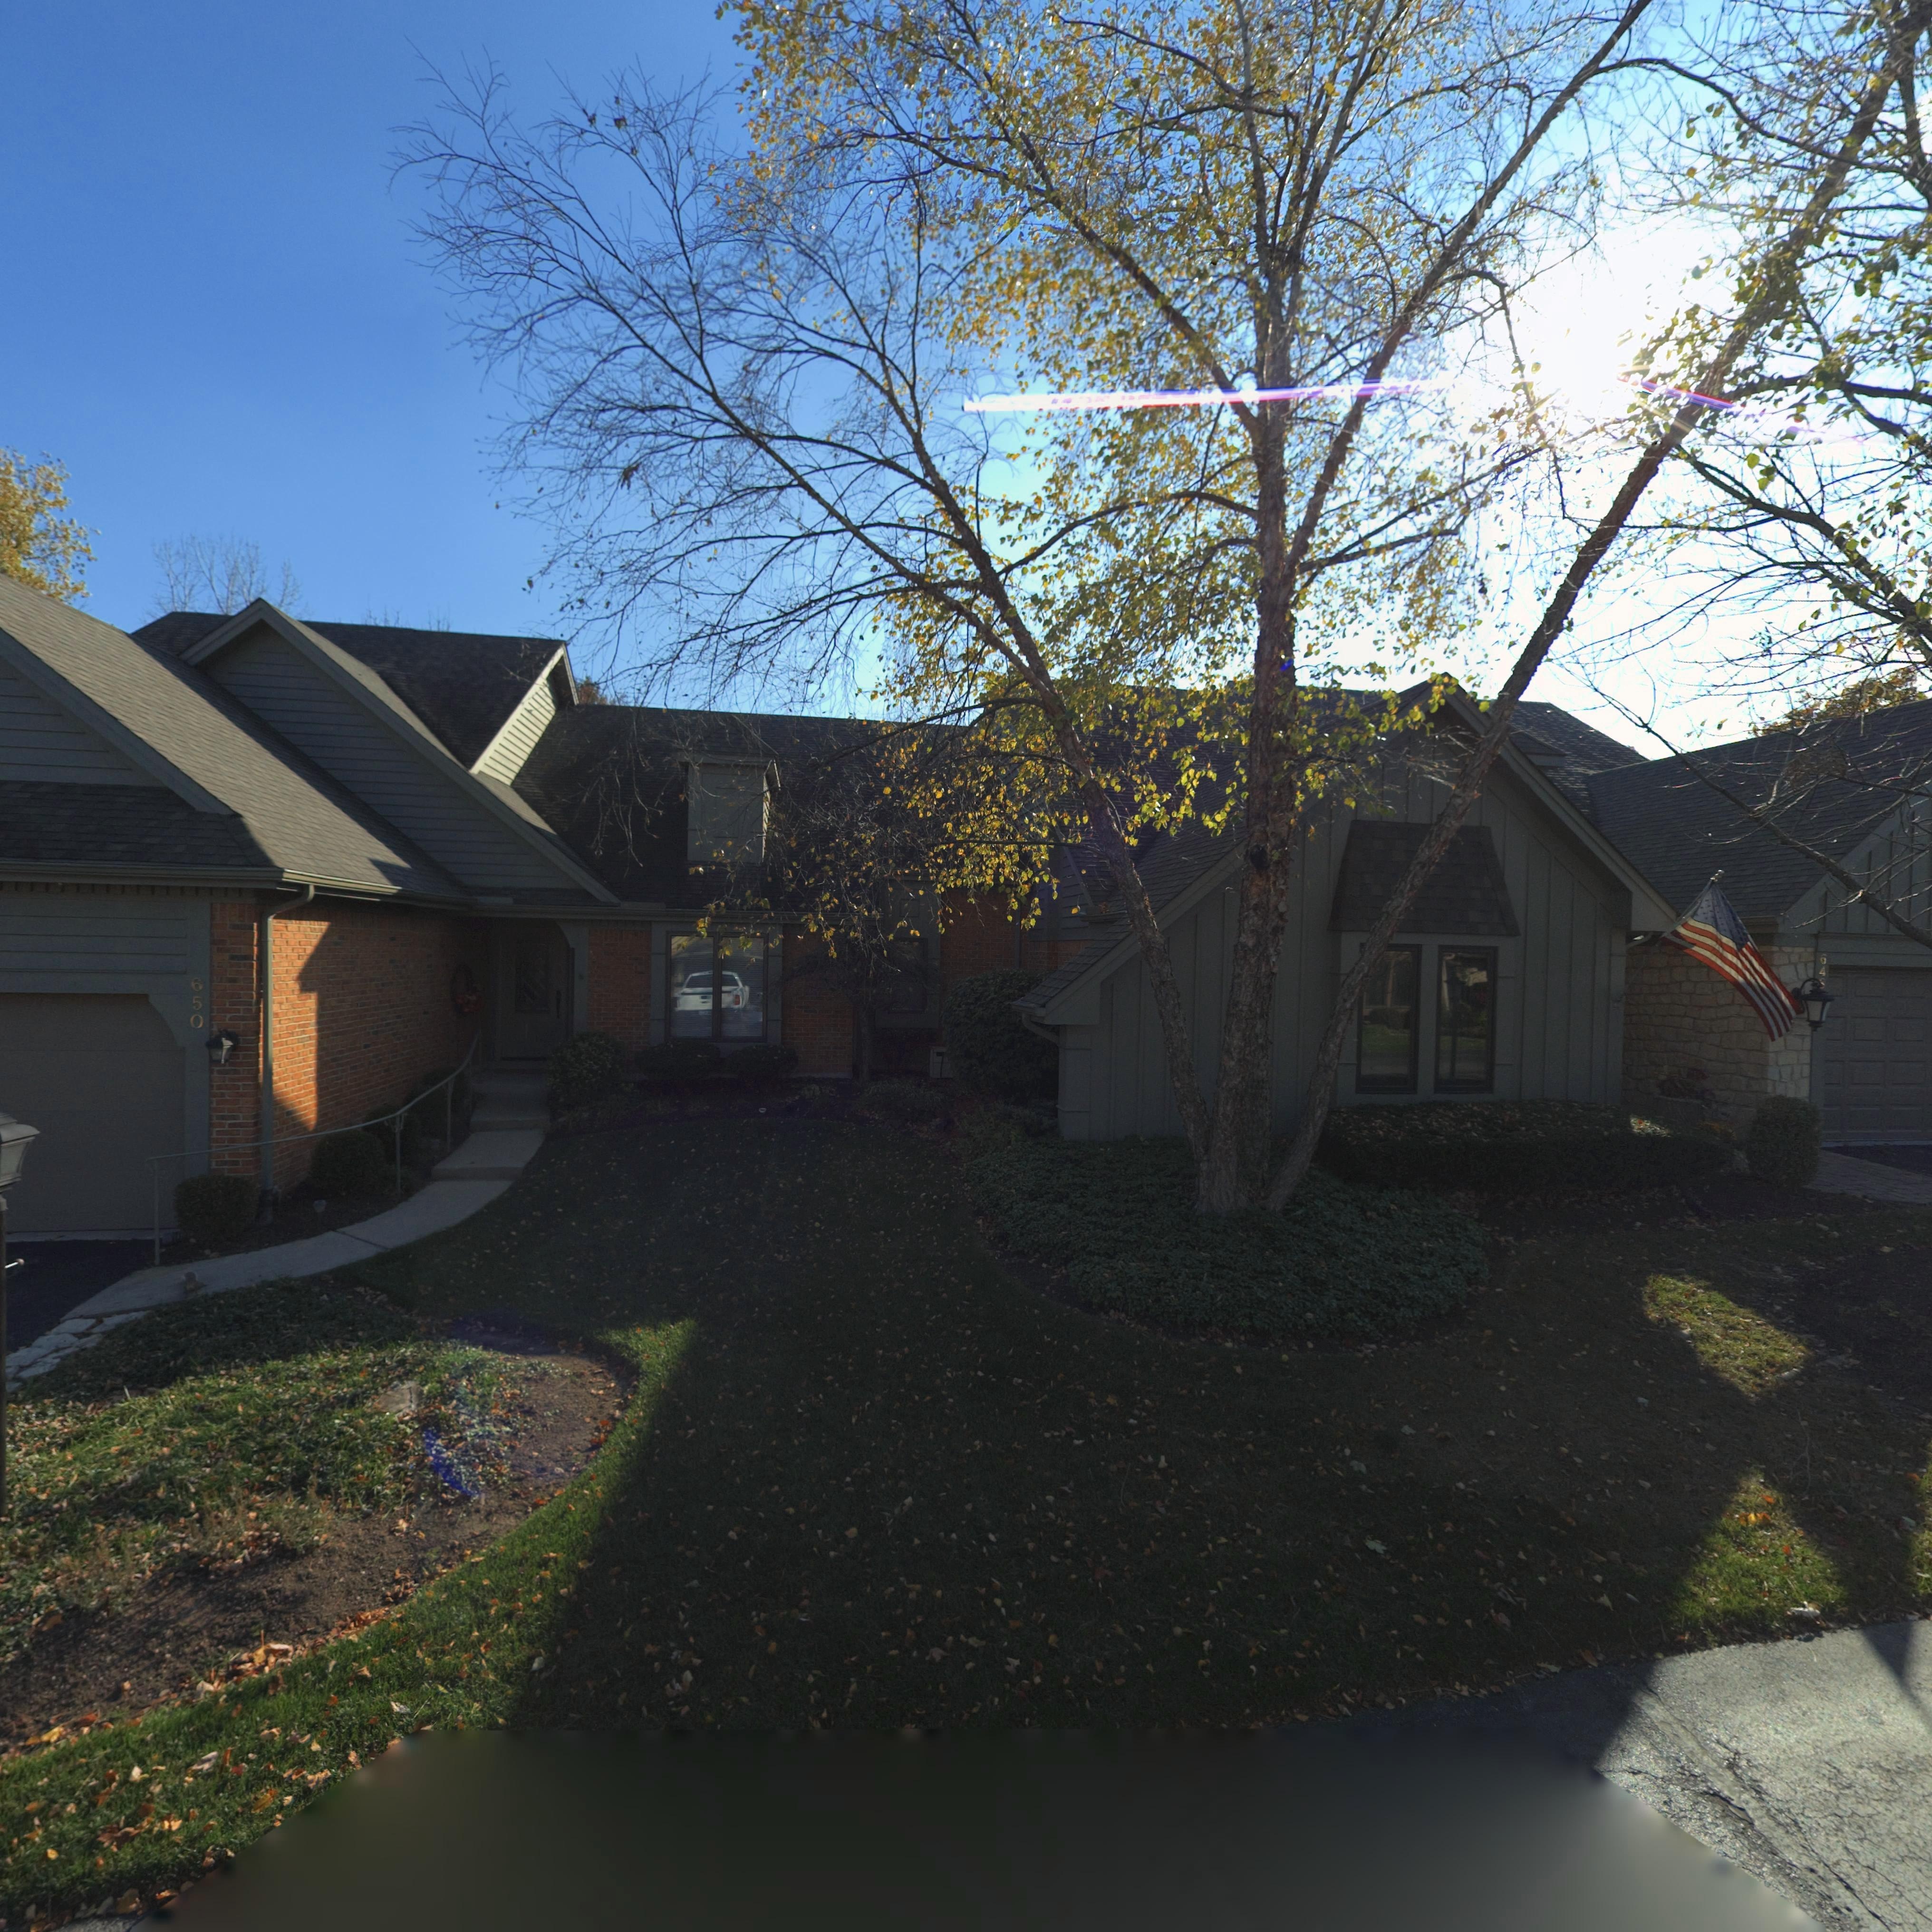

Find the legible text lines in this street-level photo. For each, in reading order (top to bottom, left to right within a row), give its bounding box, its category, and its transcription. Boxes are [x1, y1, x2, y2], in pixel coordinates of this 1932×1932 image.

[189, 975, 205, 1031] StreetNumber: 650